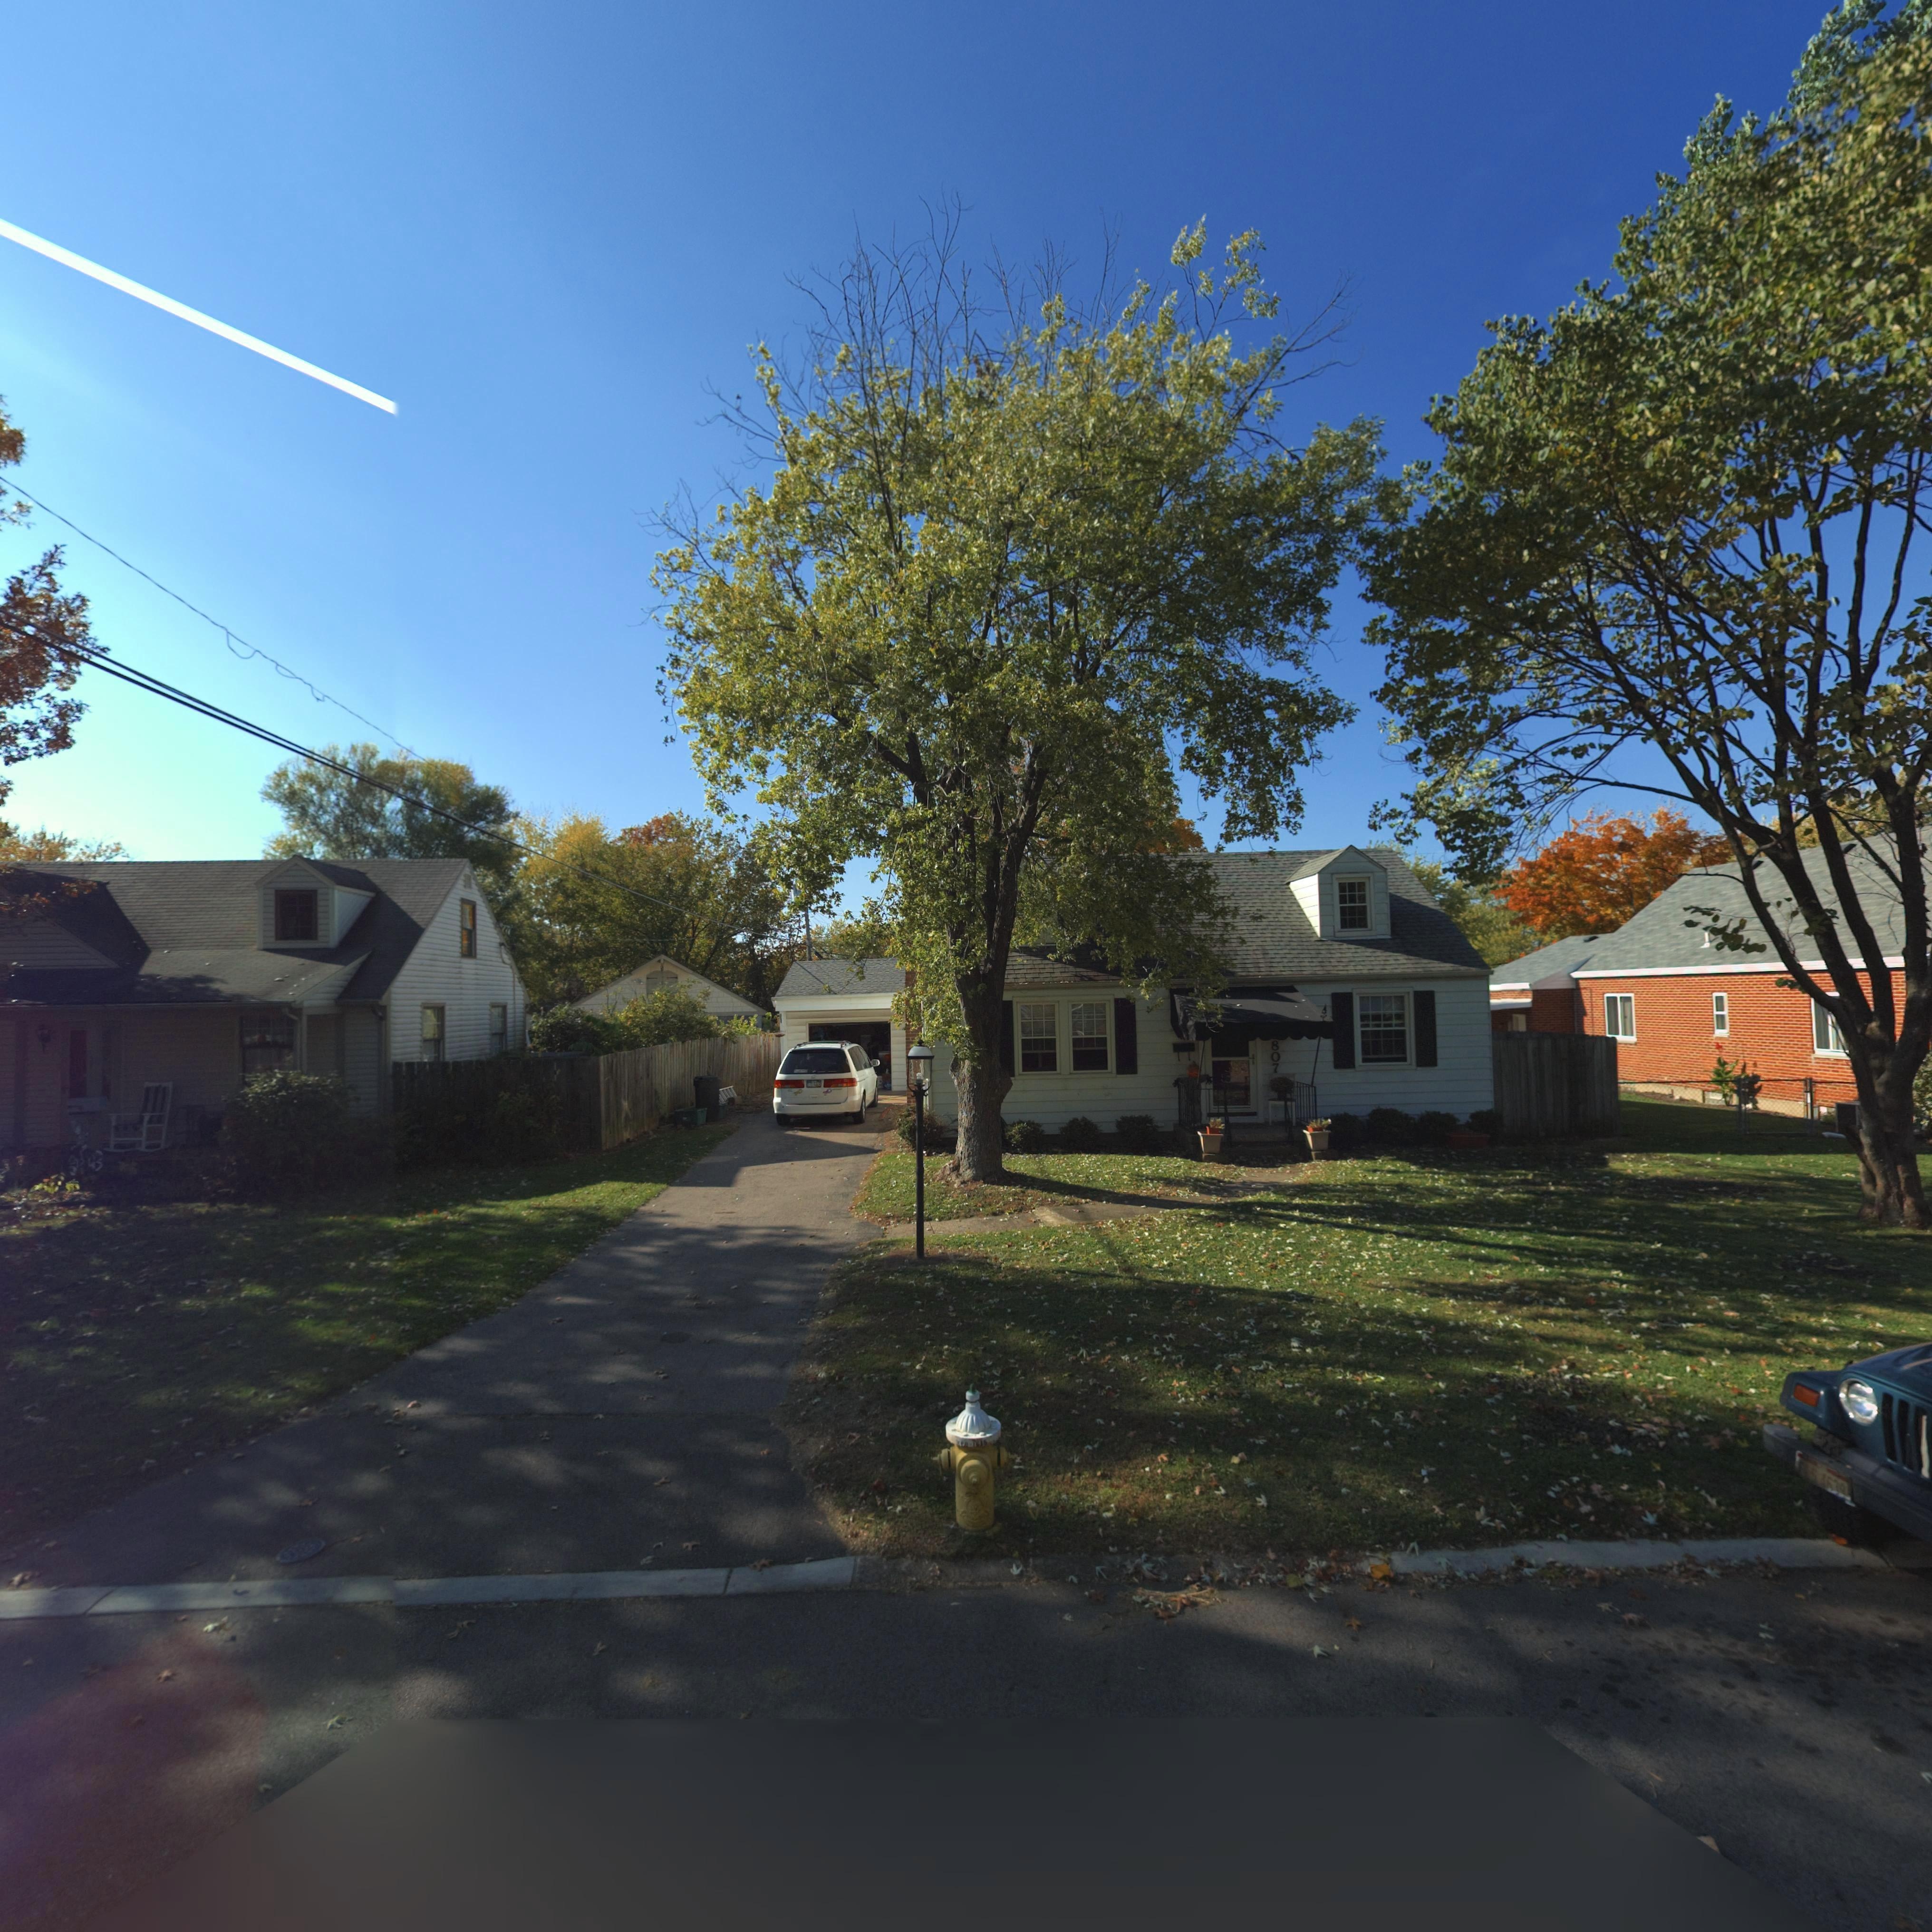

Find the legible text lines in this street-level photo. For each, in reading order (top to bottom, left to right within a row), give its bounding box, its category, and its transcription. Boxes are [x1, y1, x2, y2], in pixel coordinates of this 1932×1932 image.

[1269, 1040, 1283, 1074] StreetNumber: 807